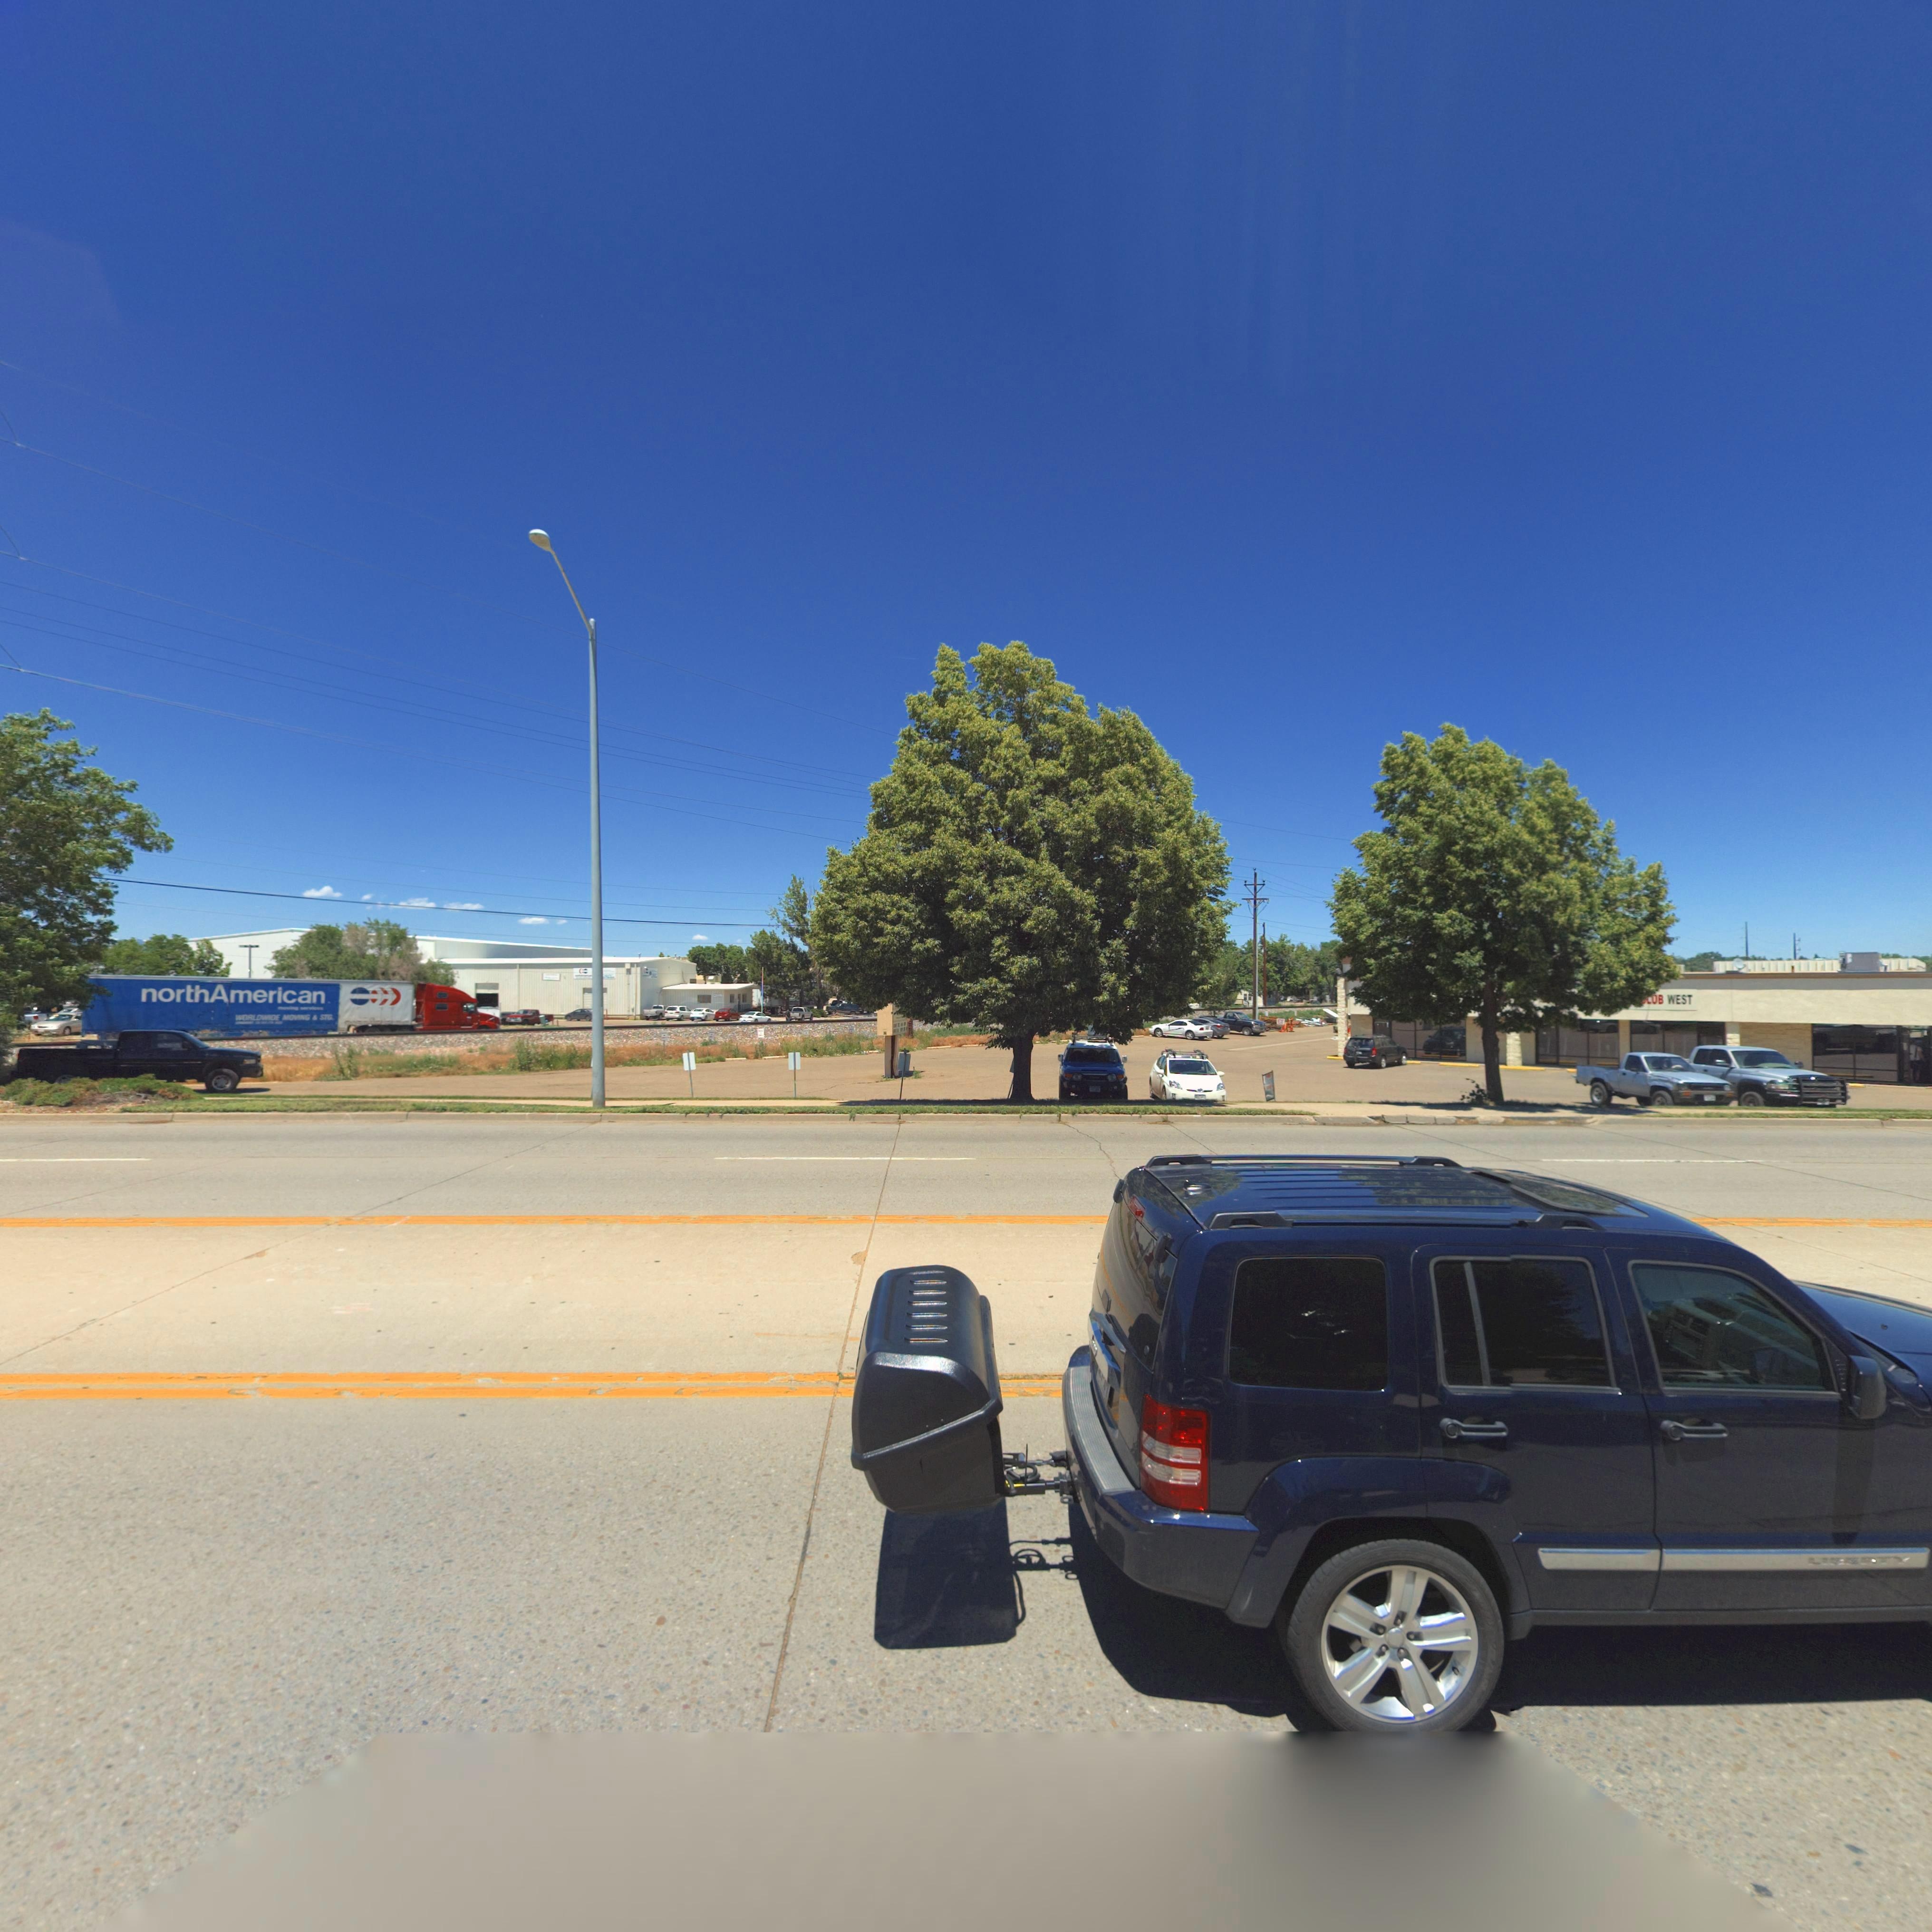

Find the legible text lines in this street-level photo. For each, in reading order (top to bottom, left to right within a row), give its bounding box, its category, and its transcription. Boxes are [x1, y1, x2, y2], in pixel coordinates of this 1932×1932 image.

[1646, 994, 1693, 1005] BusinessName: **B WEST